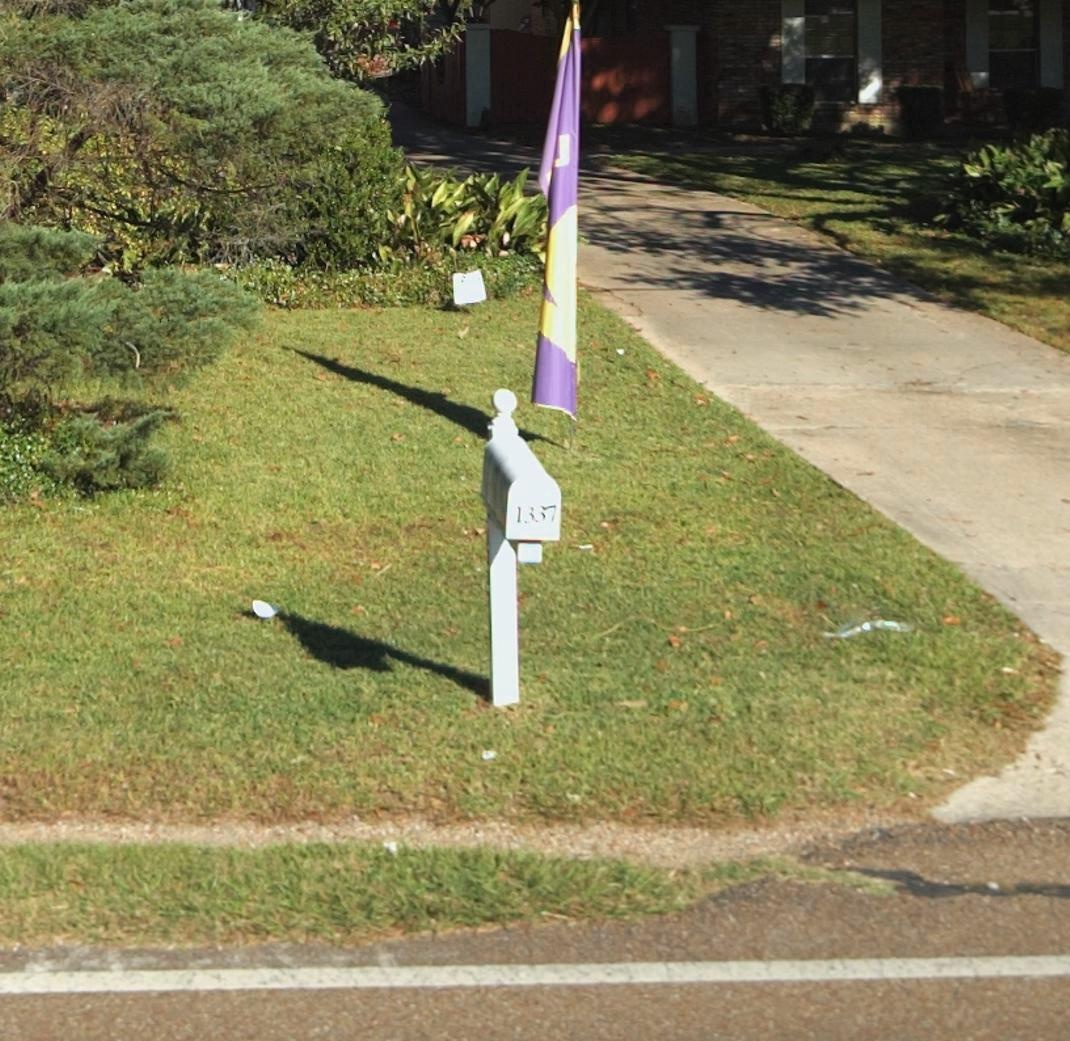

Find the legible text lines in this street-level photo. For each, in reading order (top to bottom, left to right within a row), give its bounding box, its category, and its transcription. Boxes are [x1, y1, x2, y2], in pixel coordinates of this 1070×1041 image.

[513, 504, 558, 526] StreetNumber: 1337